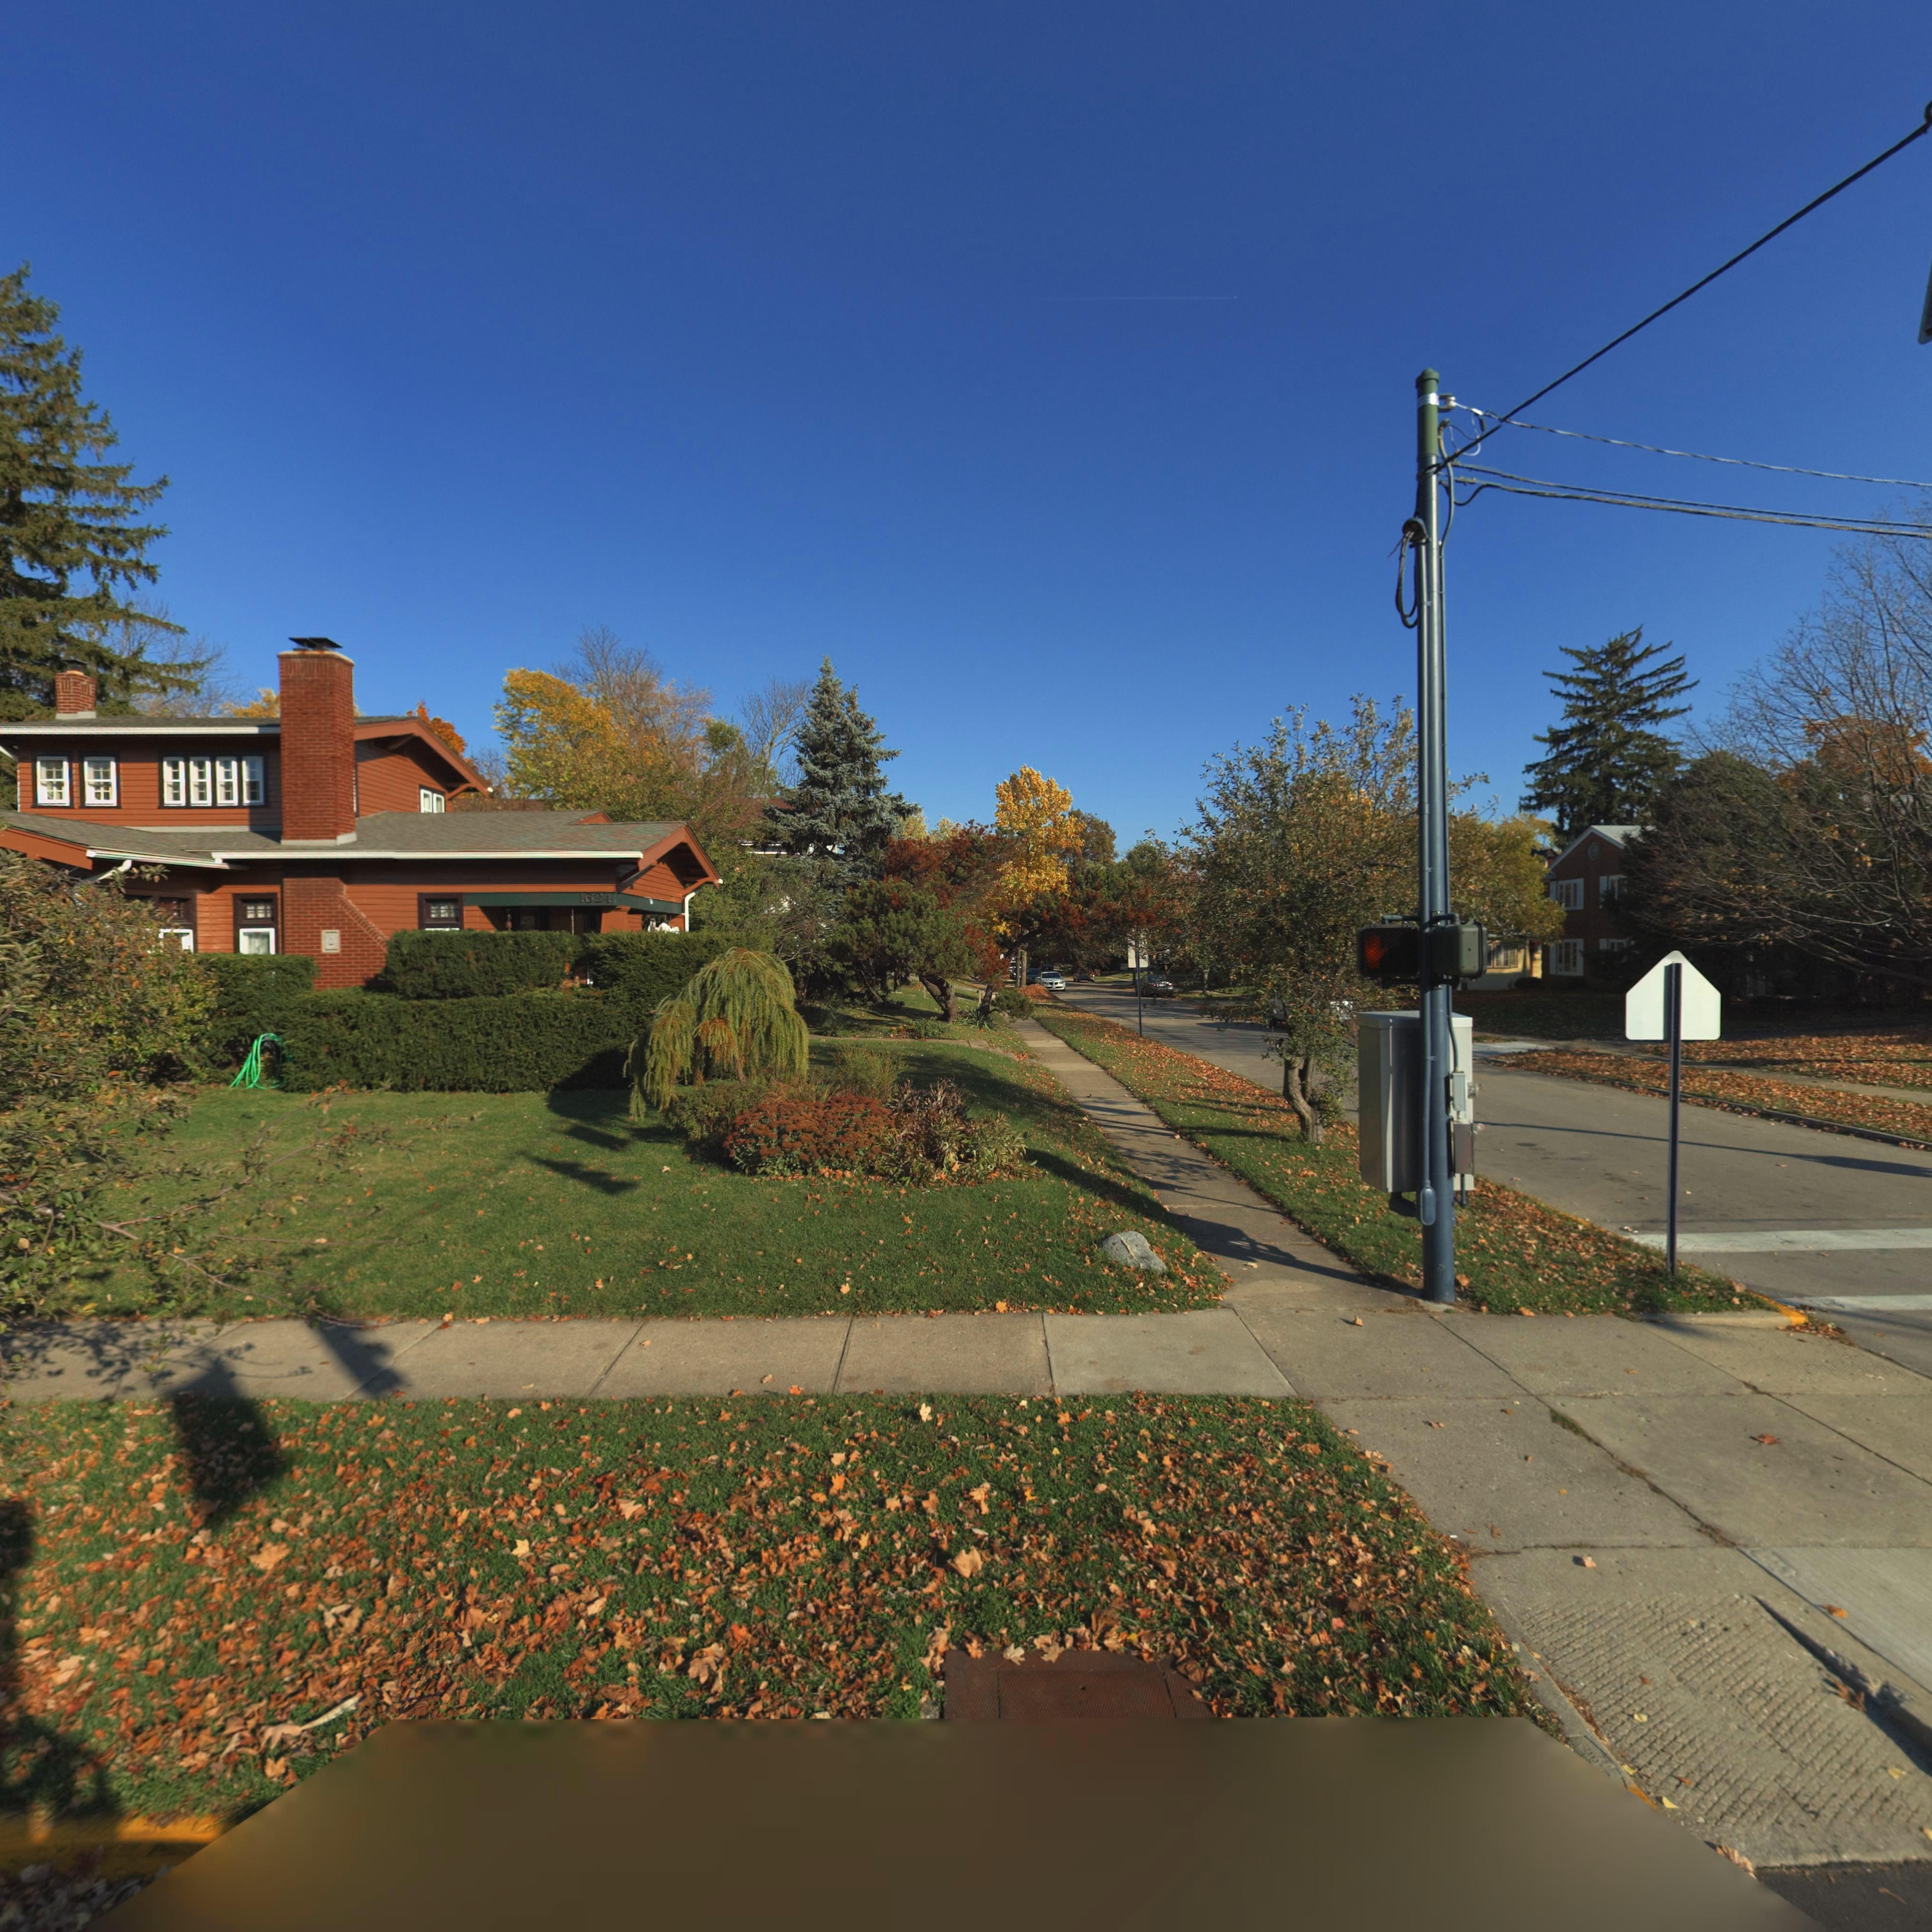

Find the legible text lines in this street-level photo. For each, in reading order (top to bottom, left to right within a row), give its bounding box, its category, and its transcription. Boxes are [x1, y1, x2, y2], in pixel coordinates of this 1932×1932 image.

[578, 891, 612, 904] StreetNumber: 1624